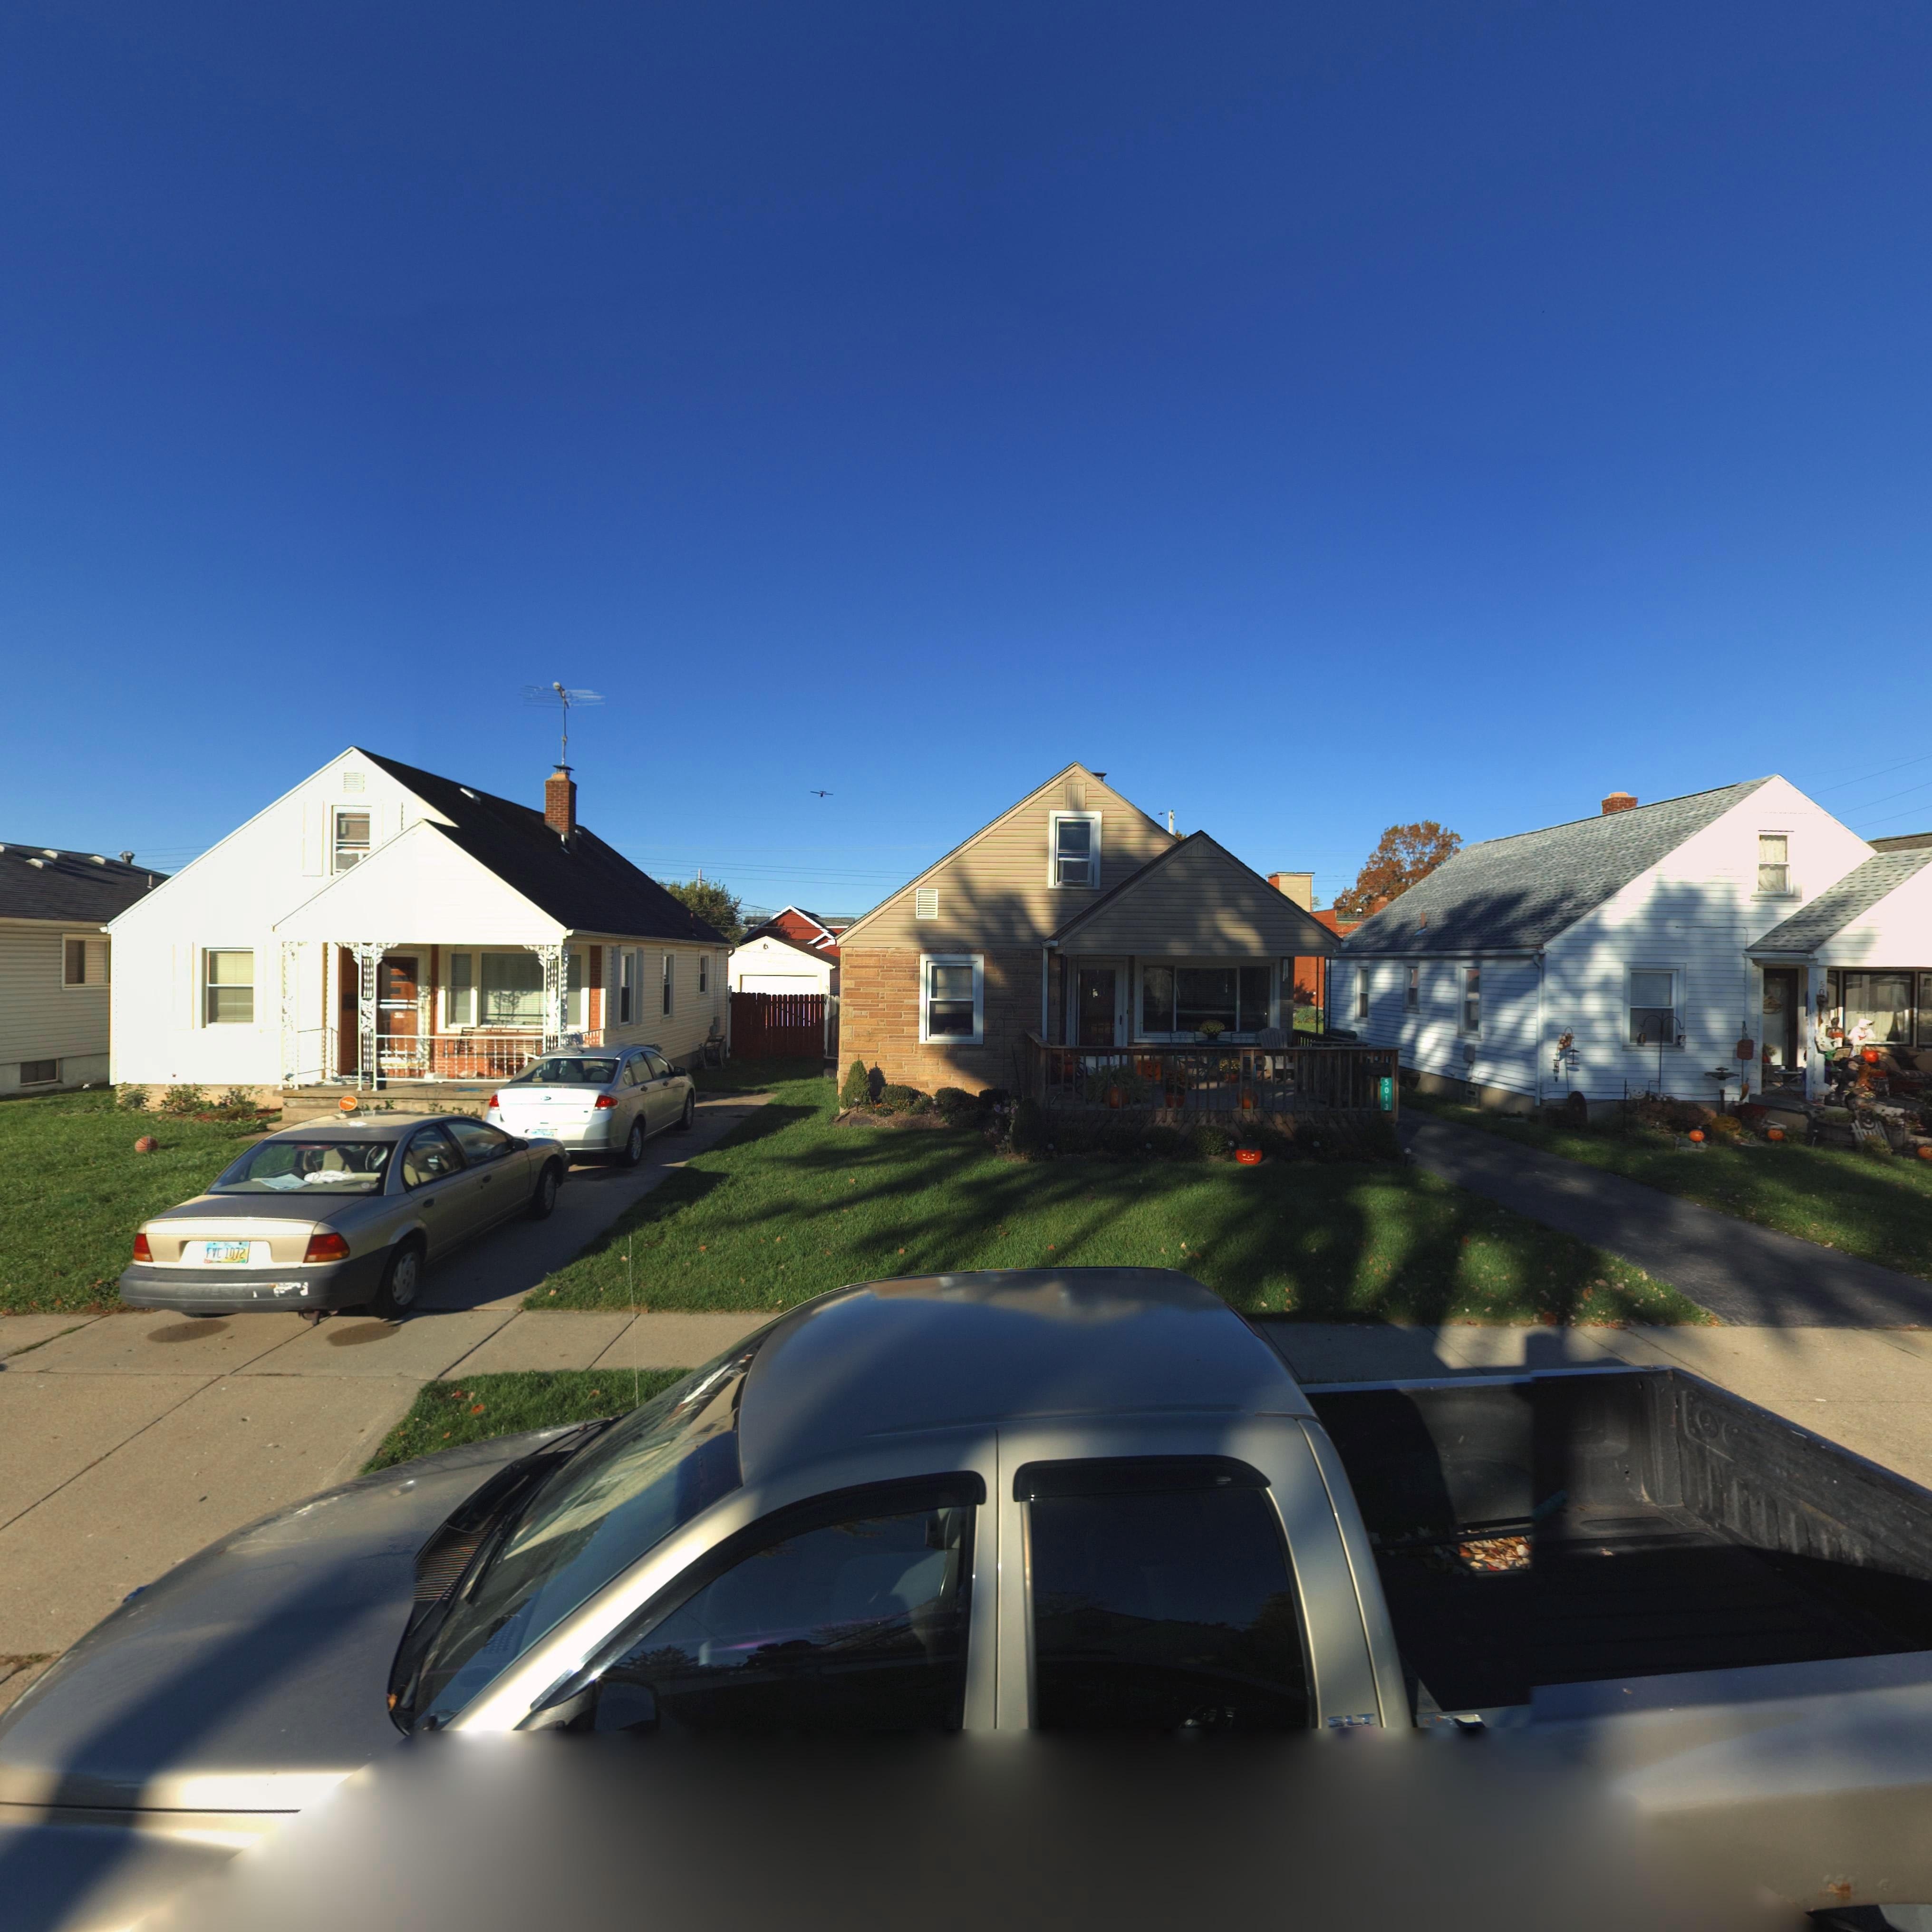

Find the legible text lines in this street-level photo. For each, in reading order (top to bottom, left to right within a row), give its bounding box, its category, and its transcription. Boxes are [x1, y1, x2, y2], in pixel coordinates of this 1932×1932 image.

[426, 975, 431, 987] StreetNumber: 50
[1818, 980, 1826, 995] StreetNumber: 50
[1383, 1078, 1390, 1111] StreetNumber: 5013